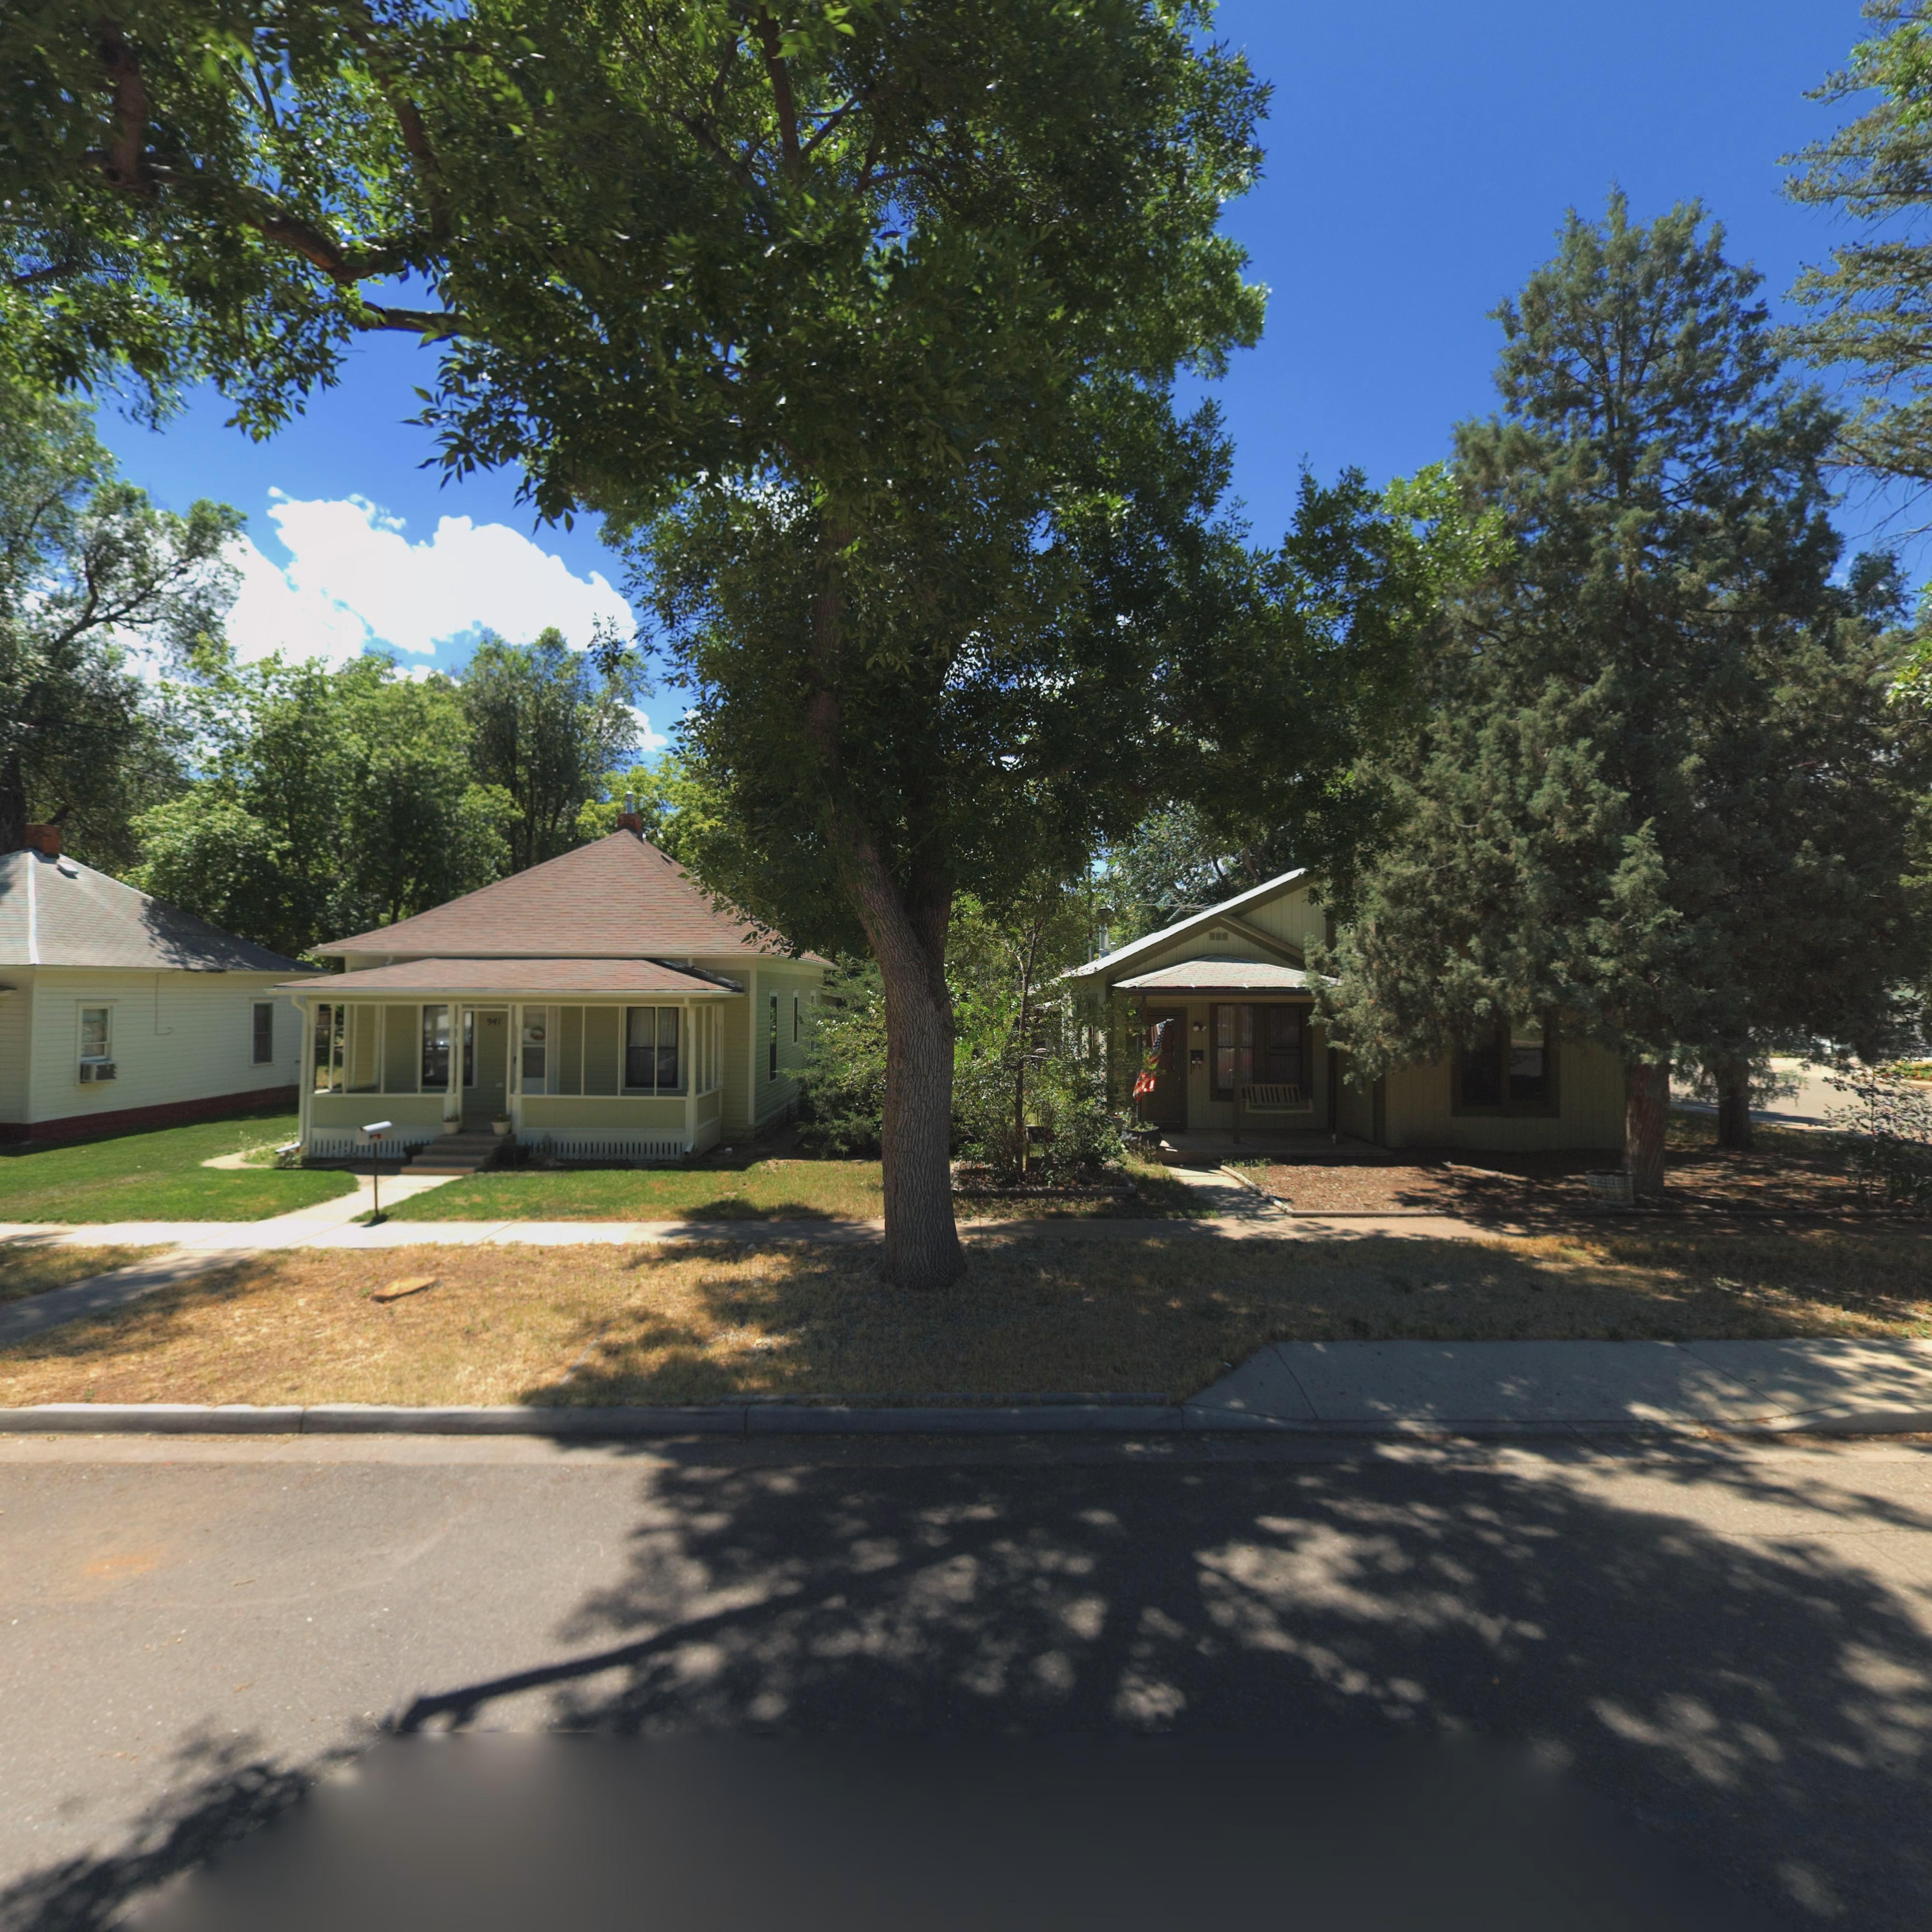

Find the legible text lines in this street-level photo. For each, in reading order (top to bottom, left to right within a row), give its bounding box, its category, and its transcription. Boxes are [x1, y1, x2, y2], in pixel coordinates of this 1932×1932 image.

[486, 1017, 502, 1025] StreetNumber: 941
[1142, 1040, 1146, 1047] StreetNumber: 9